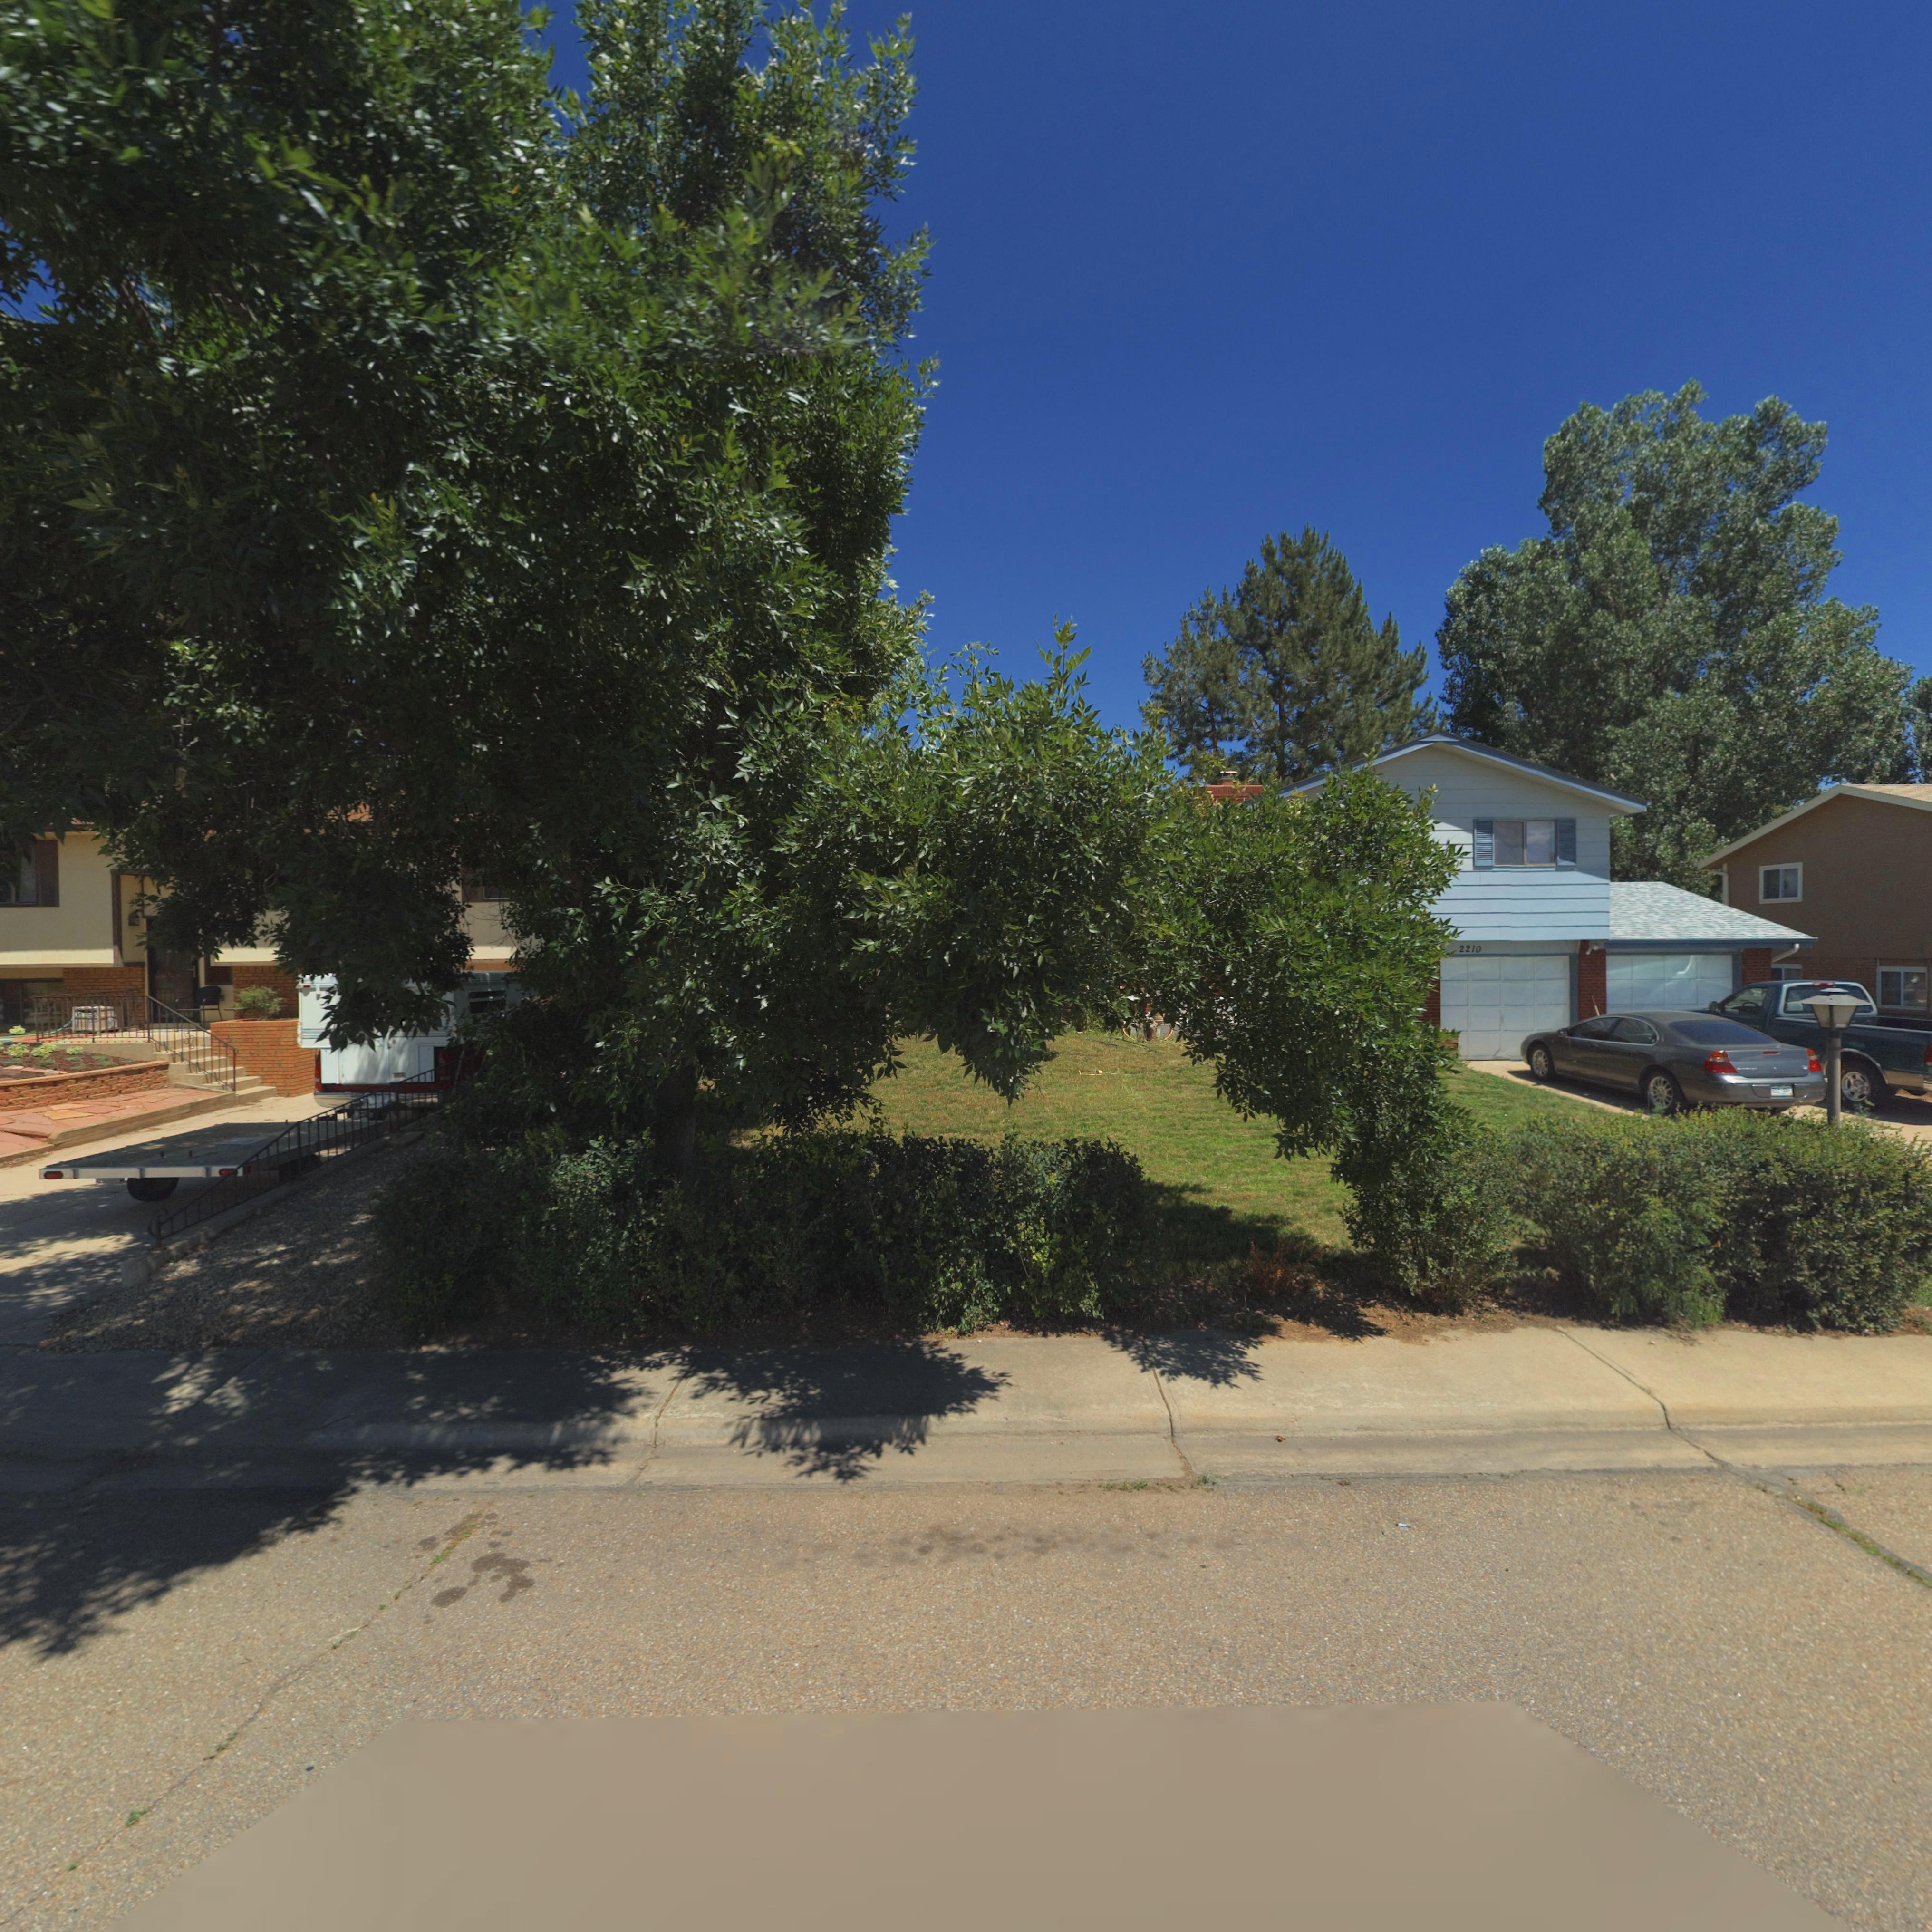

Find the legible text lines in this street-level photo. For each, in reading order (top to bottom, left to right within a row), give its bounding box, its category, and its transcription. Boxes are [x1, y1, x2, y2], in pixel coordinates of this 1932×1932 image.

[1459, 945, 1481, 952] StreetNumber: 2210